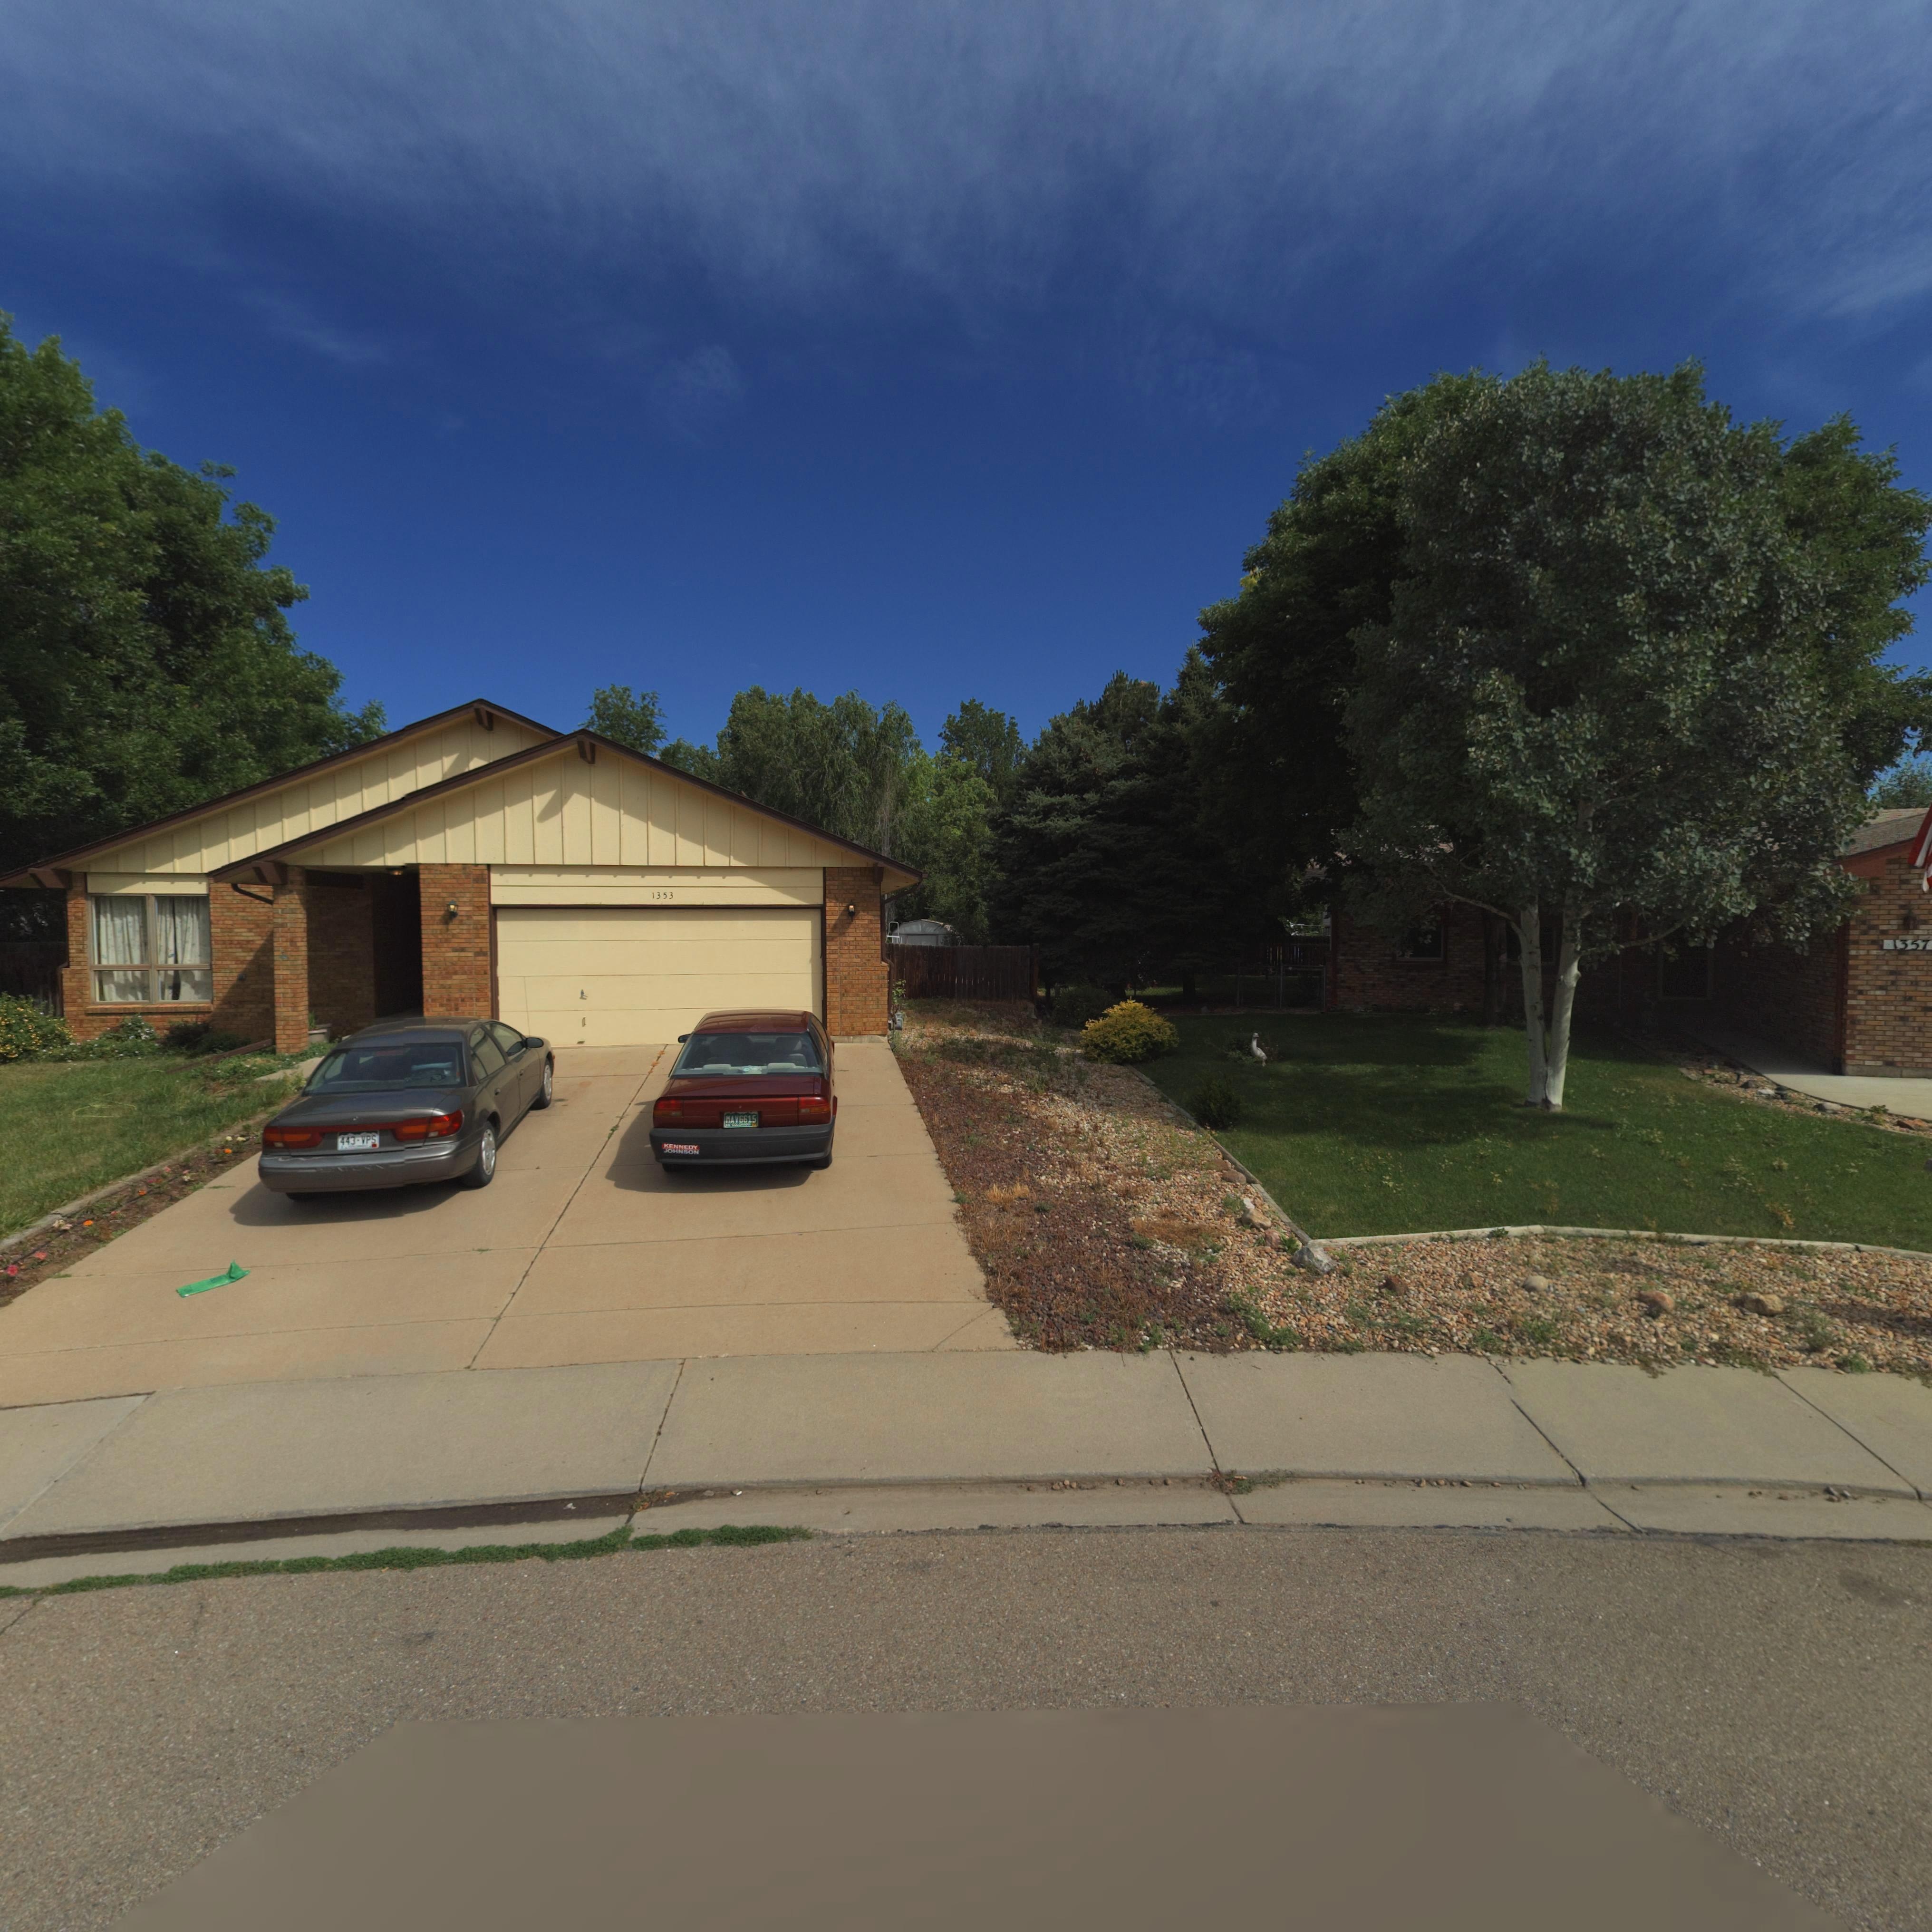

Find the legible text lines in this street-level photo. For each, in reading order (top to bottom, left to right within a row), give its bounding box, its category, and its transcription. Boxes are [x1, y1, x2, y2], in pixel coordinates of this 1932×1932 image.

[652, 891, 674, 899] StreetNumber: 1353
[1892, 939, 1931, 950] StreetNumber: 1357